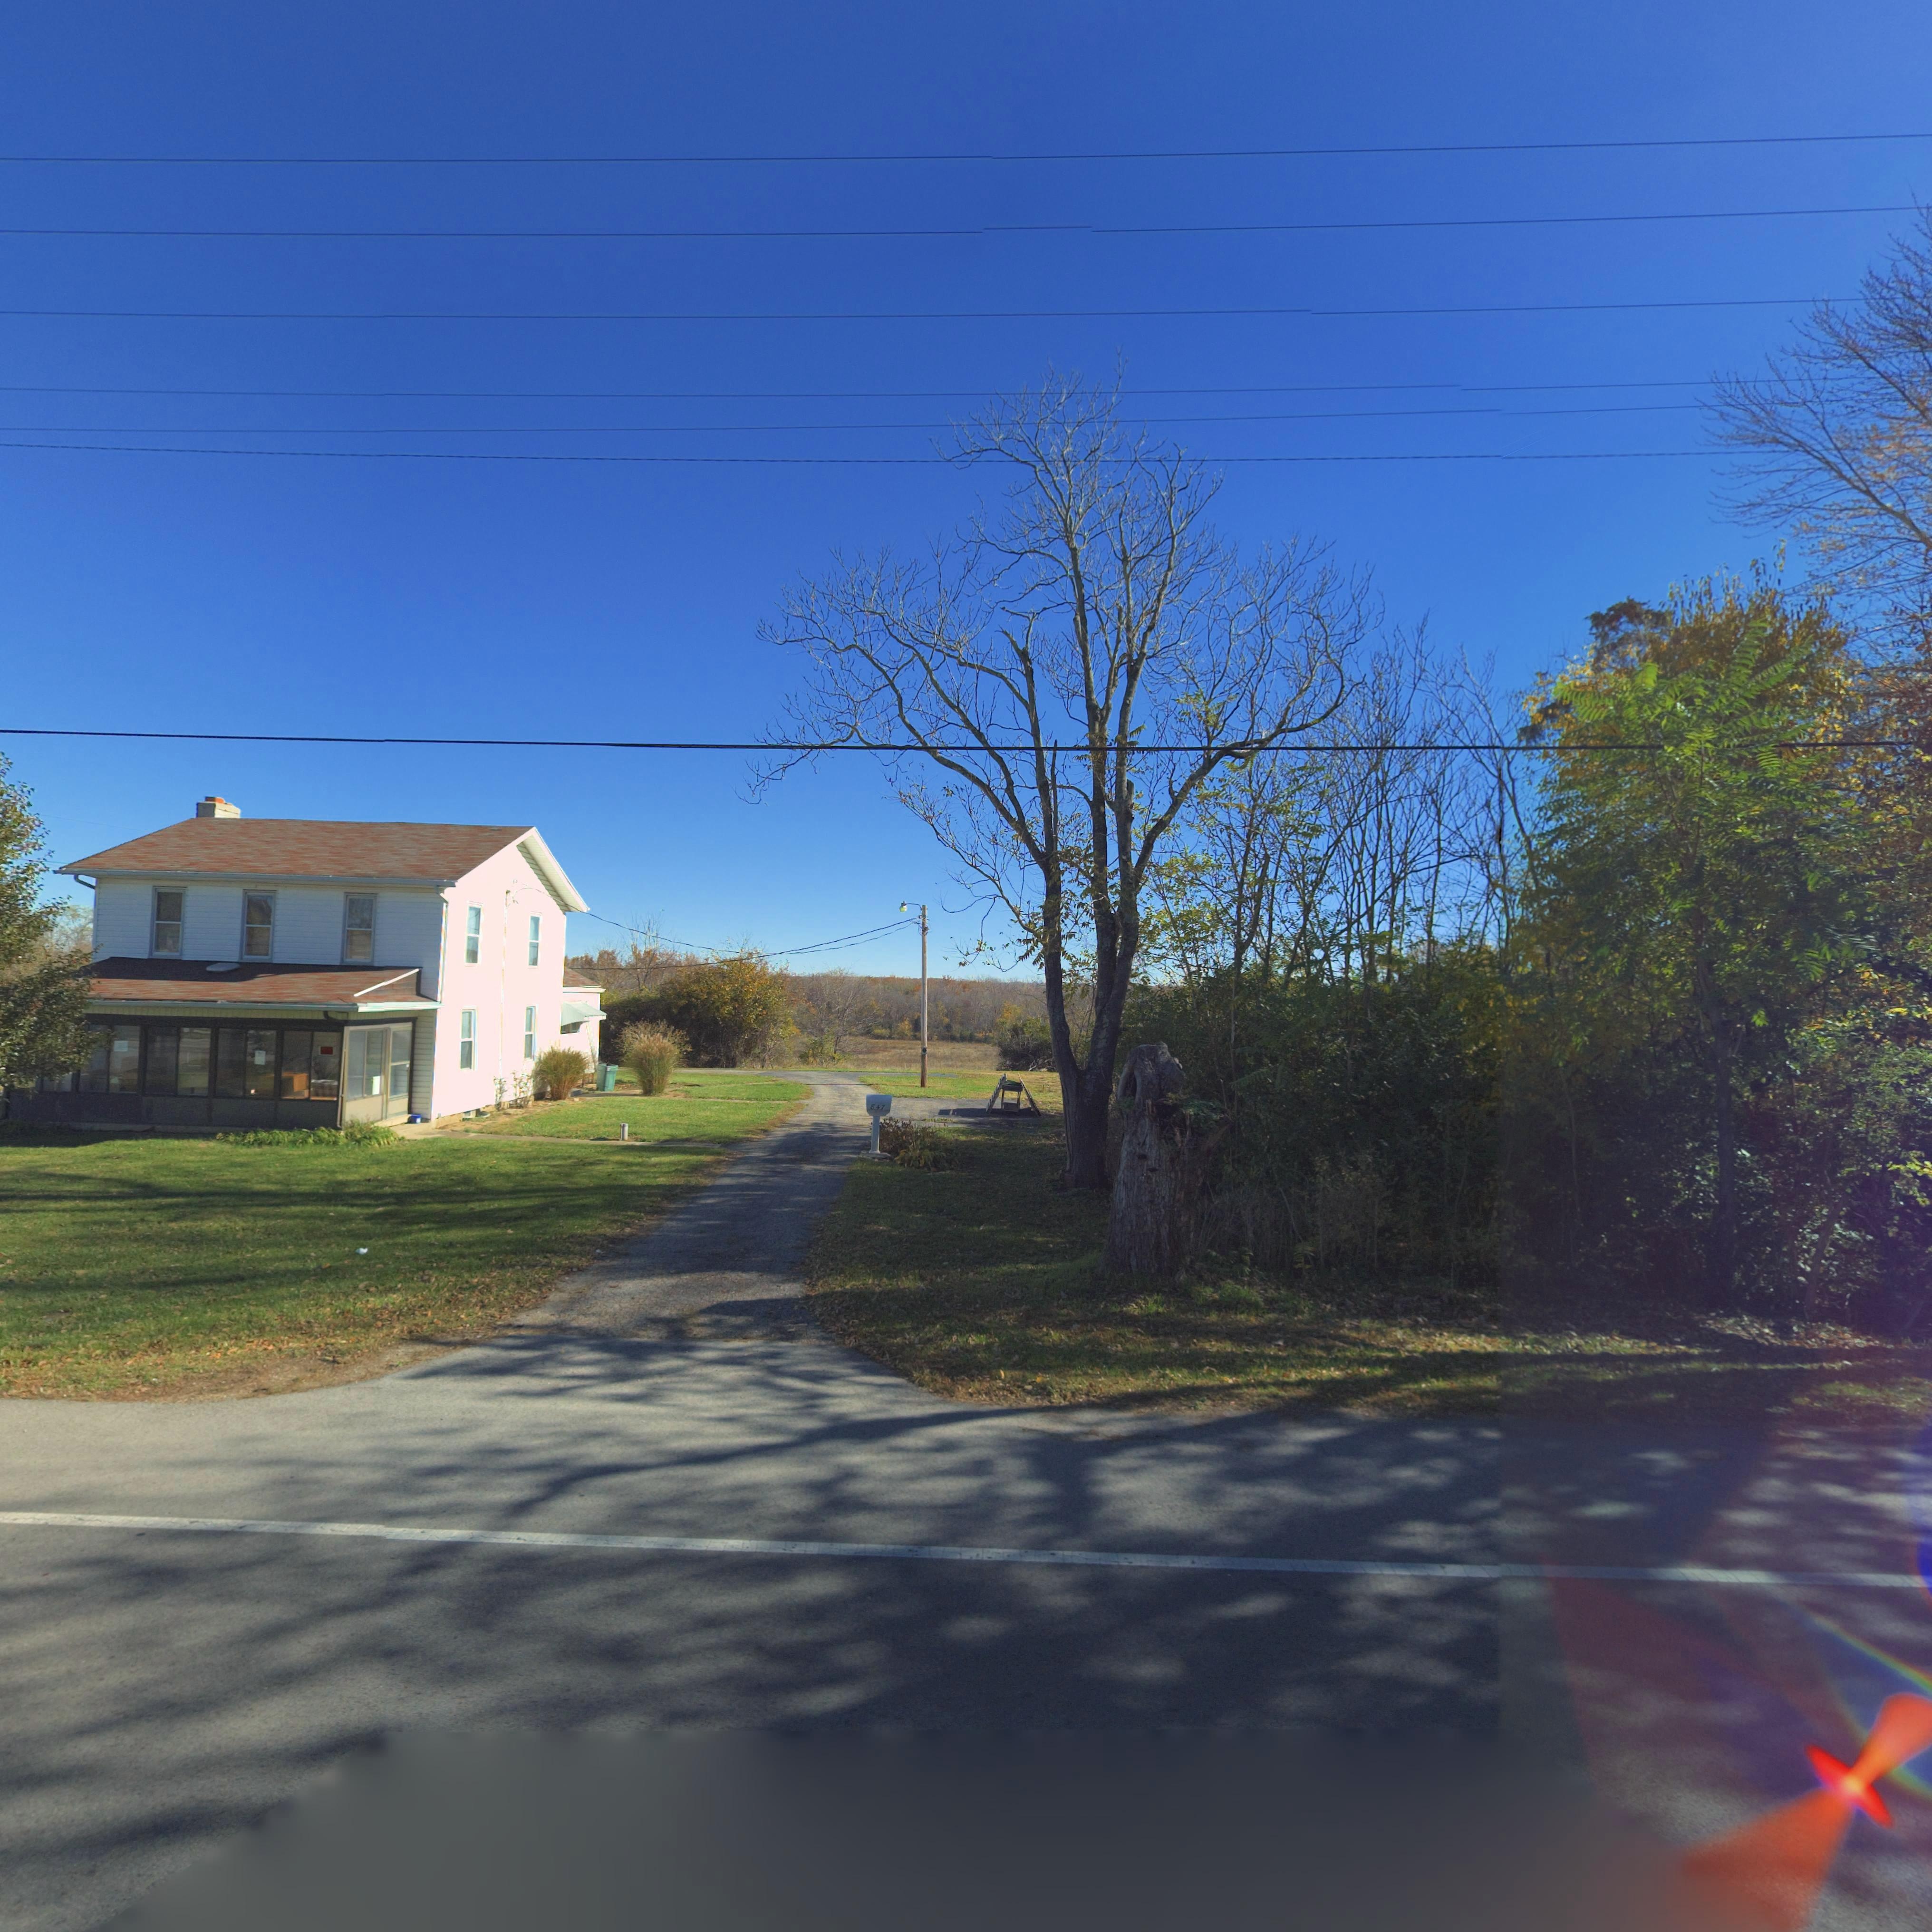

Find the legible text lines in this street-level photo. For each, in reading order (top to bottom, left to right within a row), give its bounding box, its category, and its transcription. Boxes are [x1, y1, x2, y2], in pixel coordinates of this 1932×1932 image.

[869, 1103, 886, 1111] StreetNumber: 847